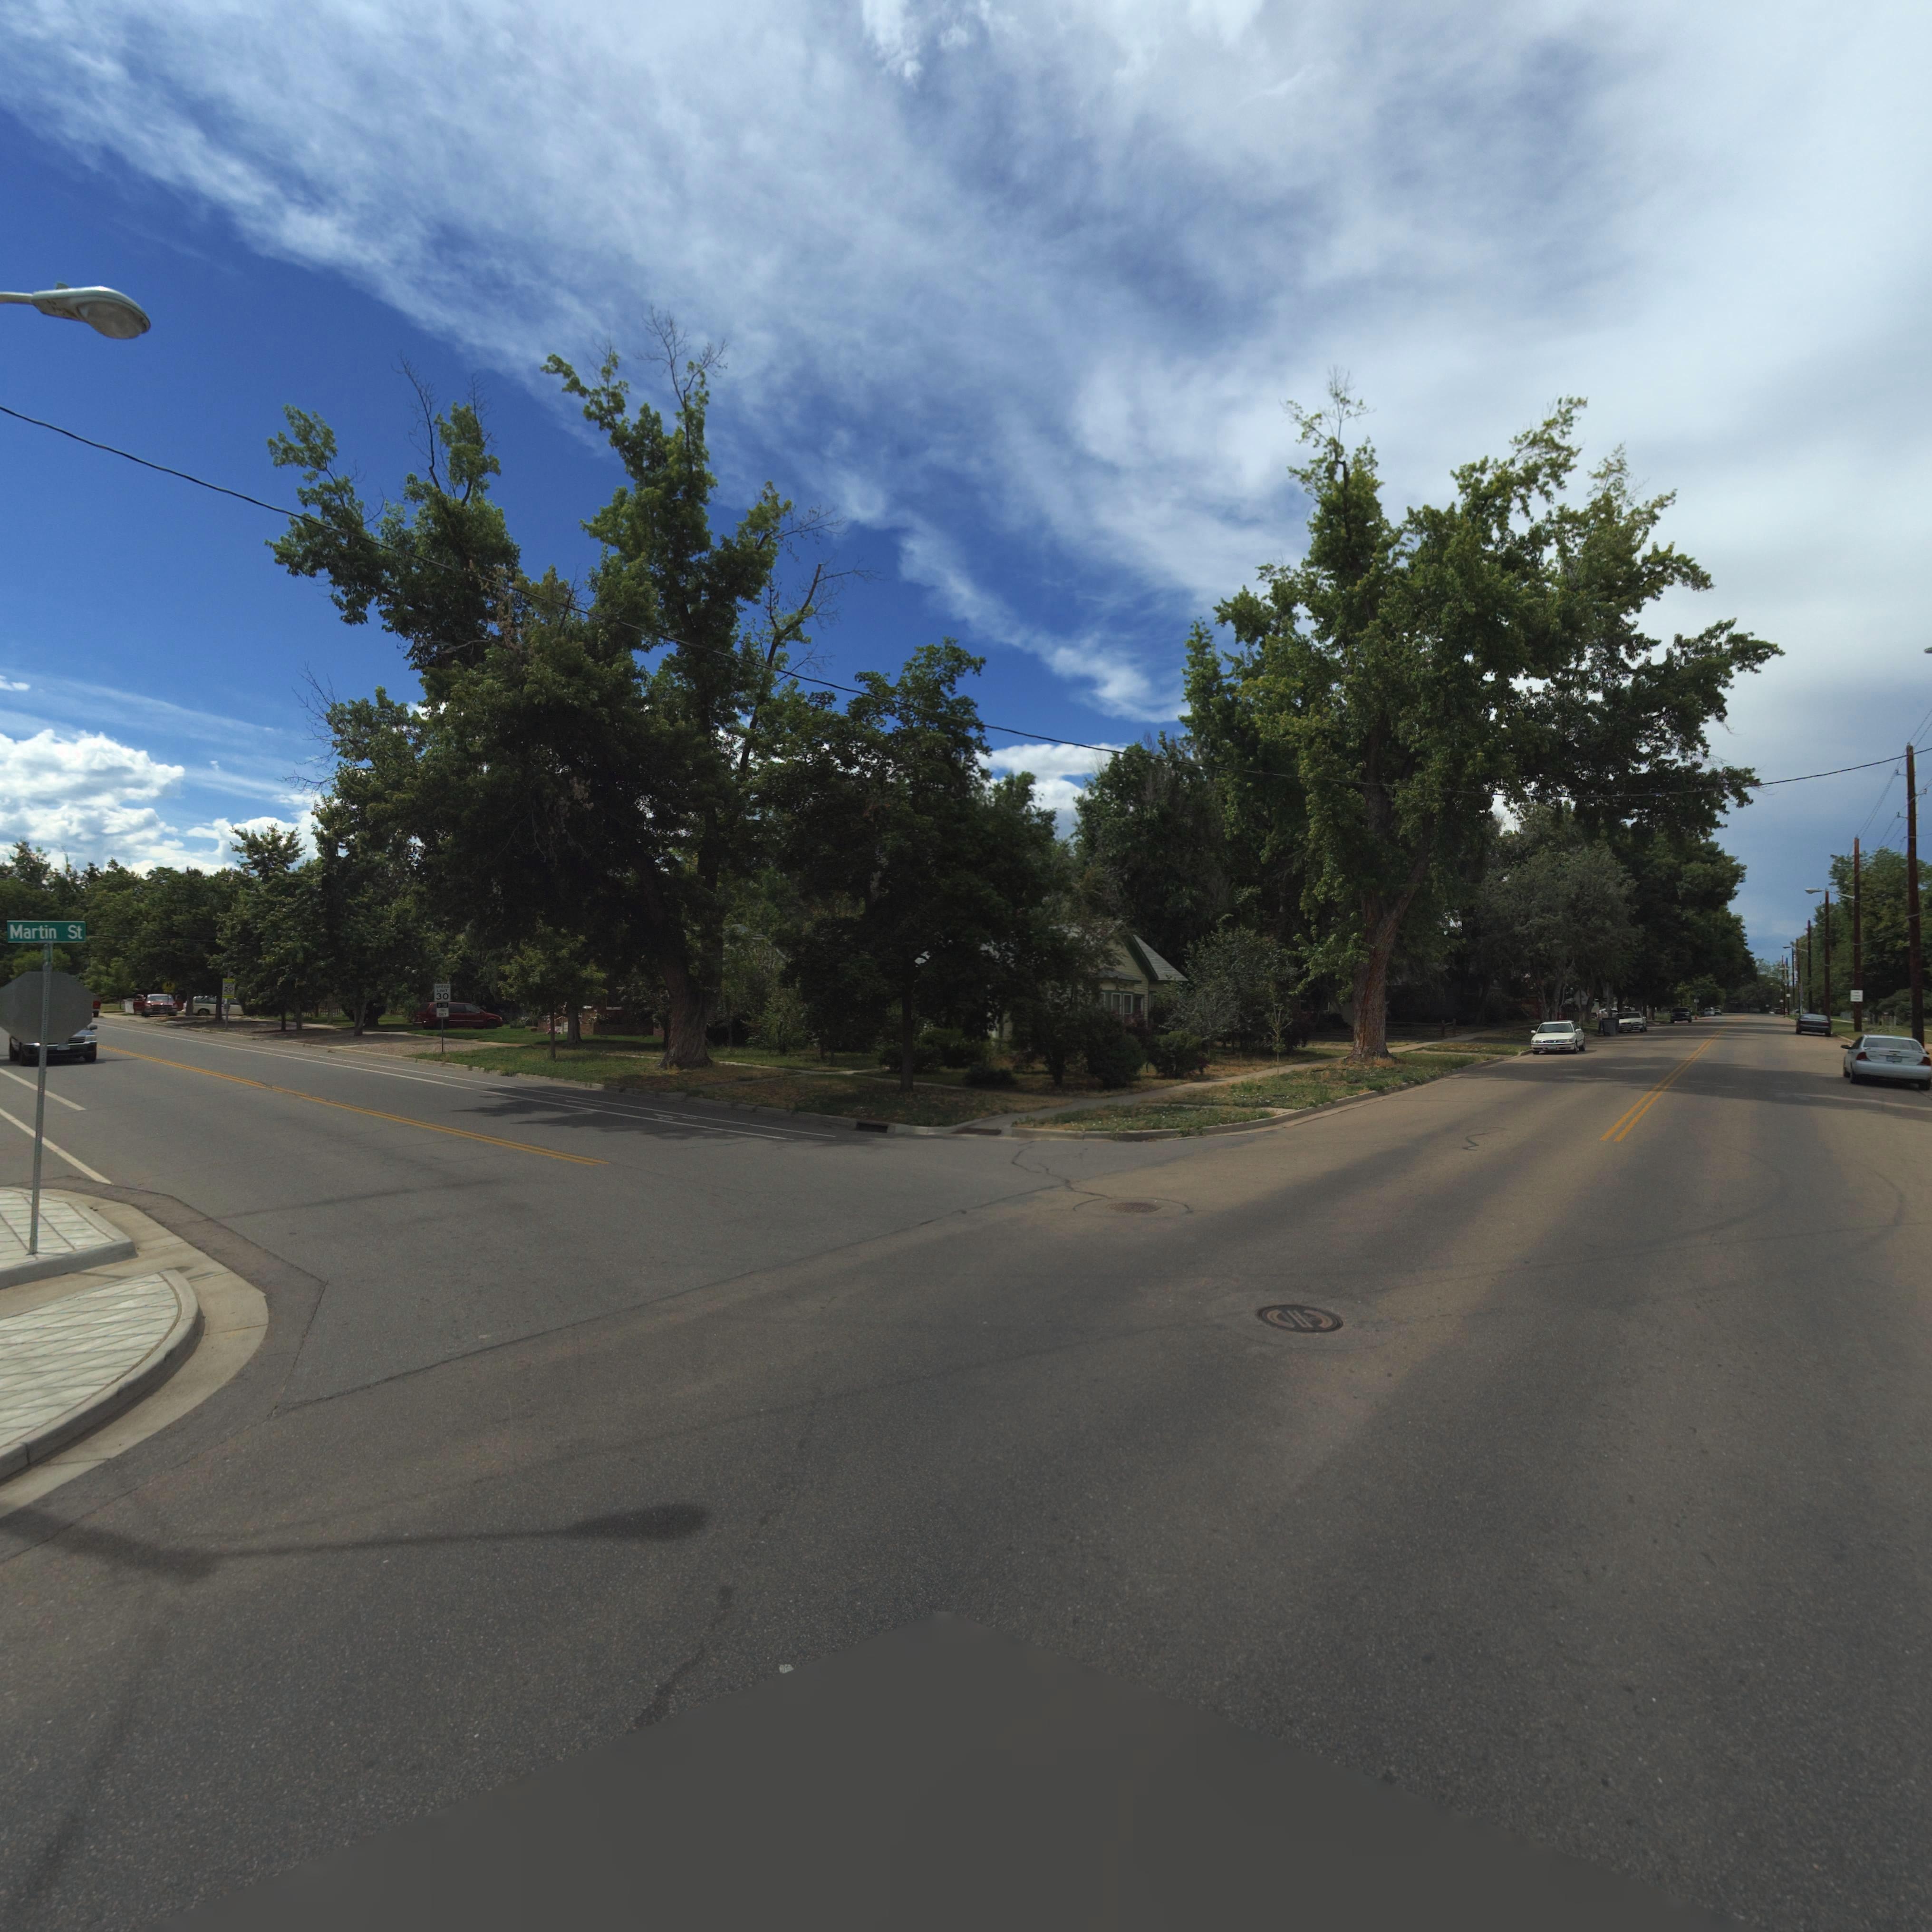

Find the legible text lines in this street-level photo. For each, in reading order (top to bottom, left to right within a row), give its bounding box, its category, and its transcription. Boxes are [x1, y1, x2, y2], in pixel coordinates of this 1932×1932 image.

[10, 925, 82, 938] StreetName: Martin St